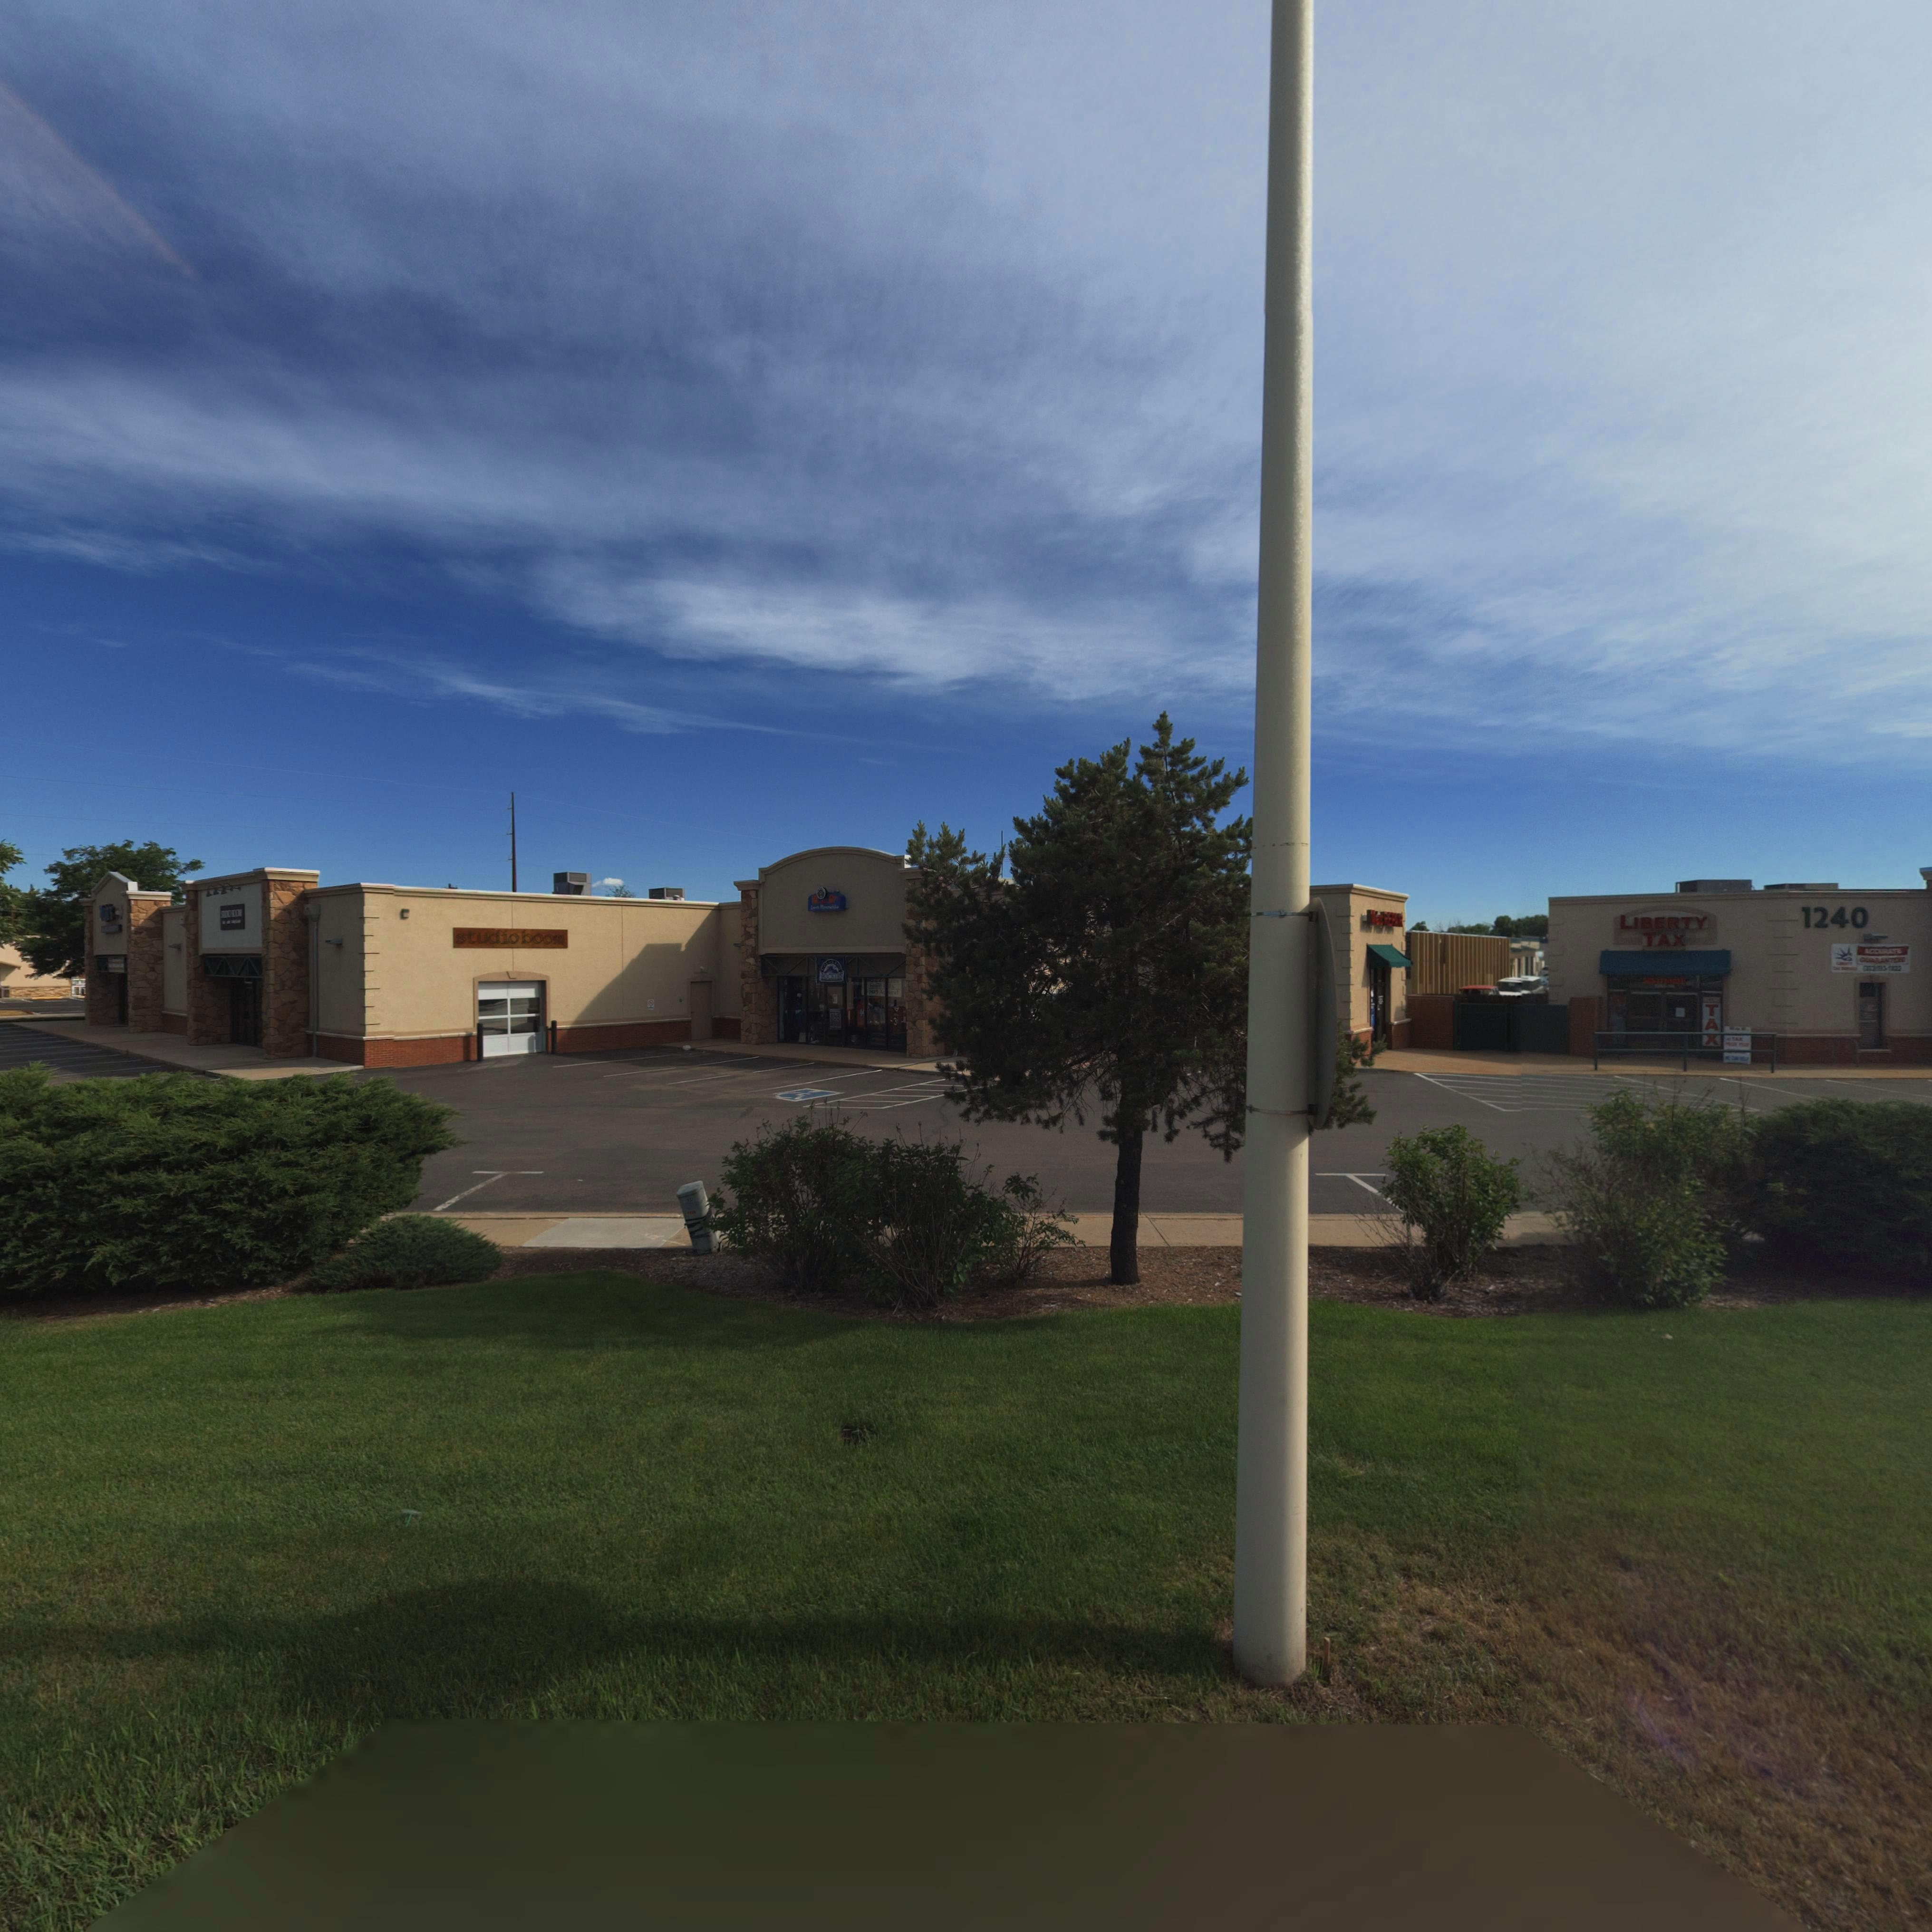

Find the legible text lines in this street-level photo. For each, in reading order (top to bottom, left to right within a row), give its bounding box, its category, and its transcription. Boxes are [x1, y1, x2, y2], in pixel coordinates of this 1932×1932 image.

[811, 894, 838, 904] BusinessName: **D*
[220, 908, 242, 918] BusinessName: S*U****OOM
[1370, 908, 1403, 927] BusinessName: Mac REPAIR
[1619, 914, 1709, 929] BusinessName: LIBERTY
[1801, 906, 1869, 928] StreetNumber: 1240
[455, 929, 566, 945] BusinessName: studio boom
[1642, 931, 1686, 947] BusinessName: TAX